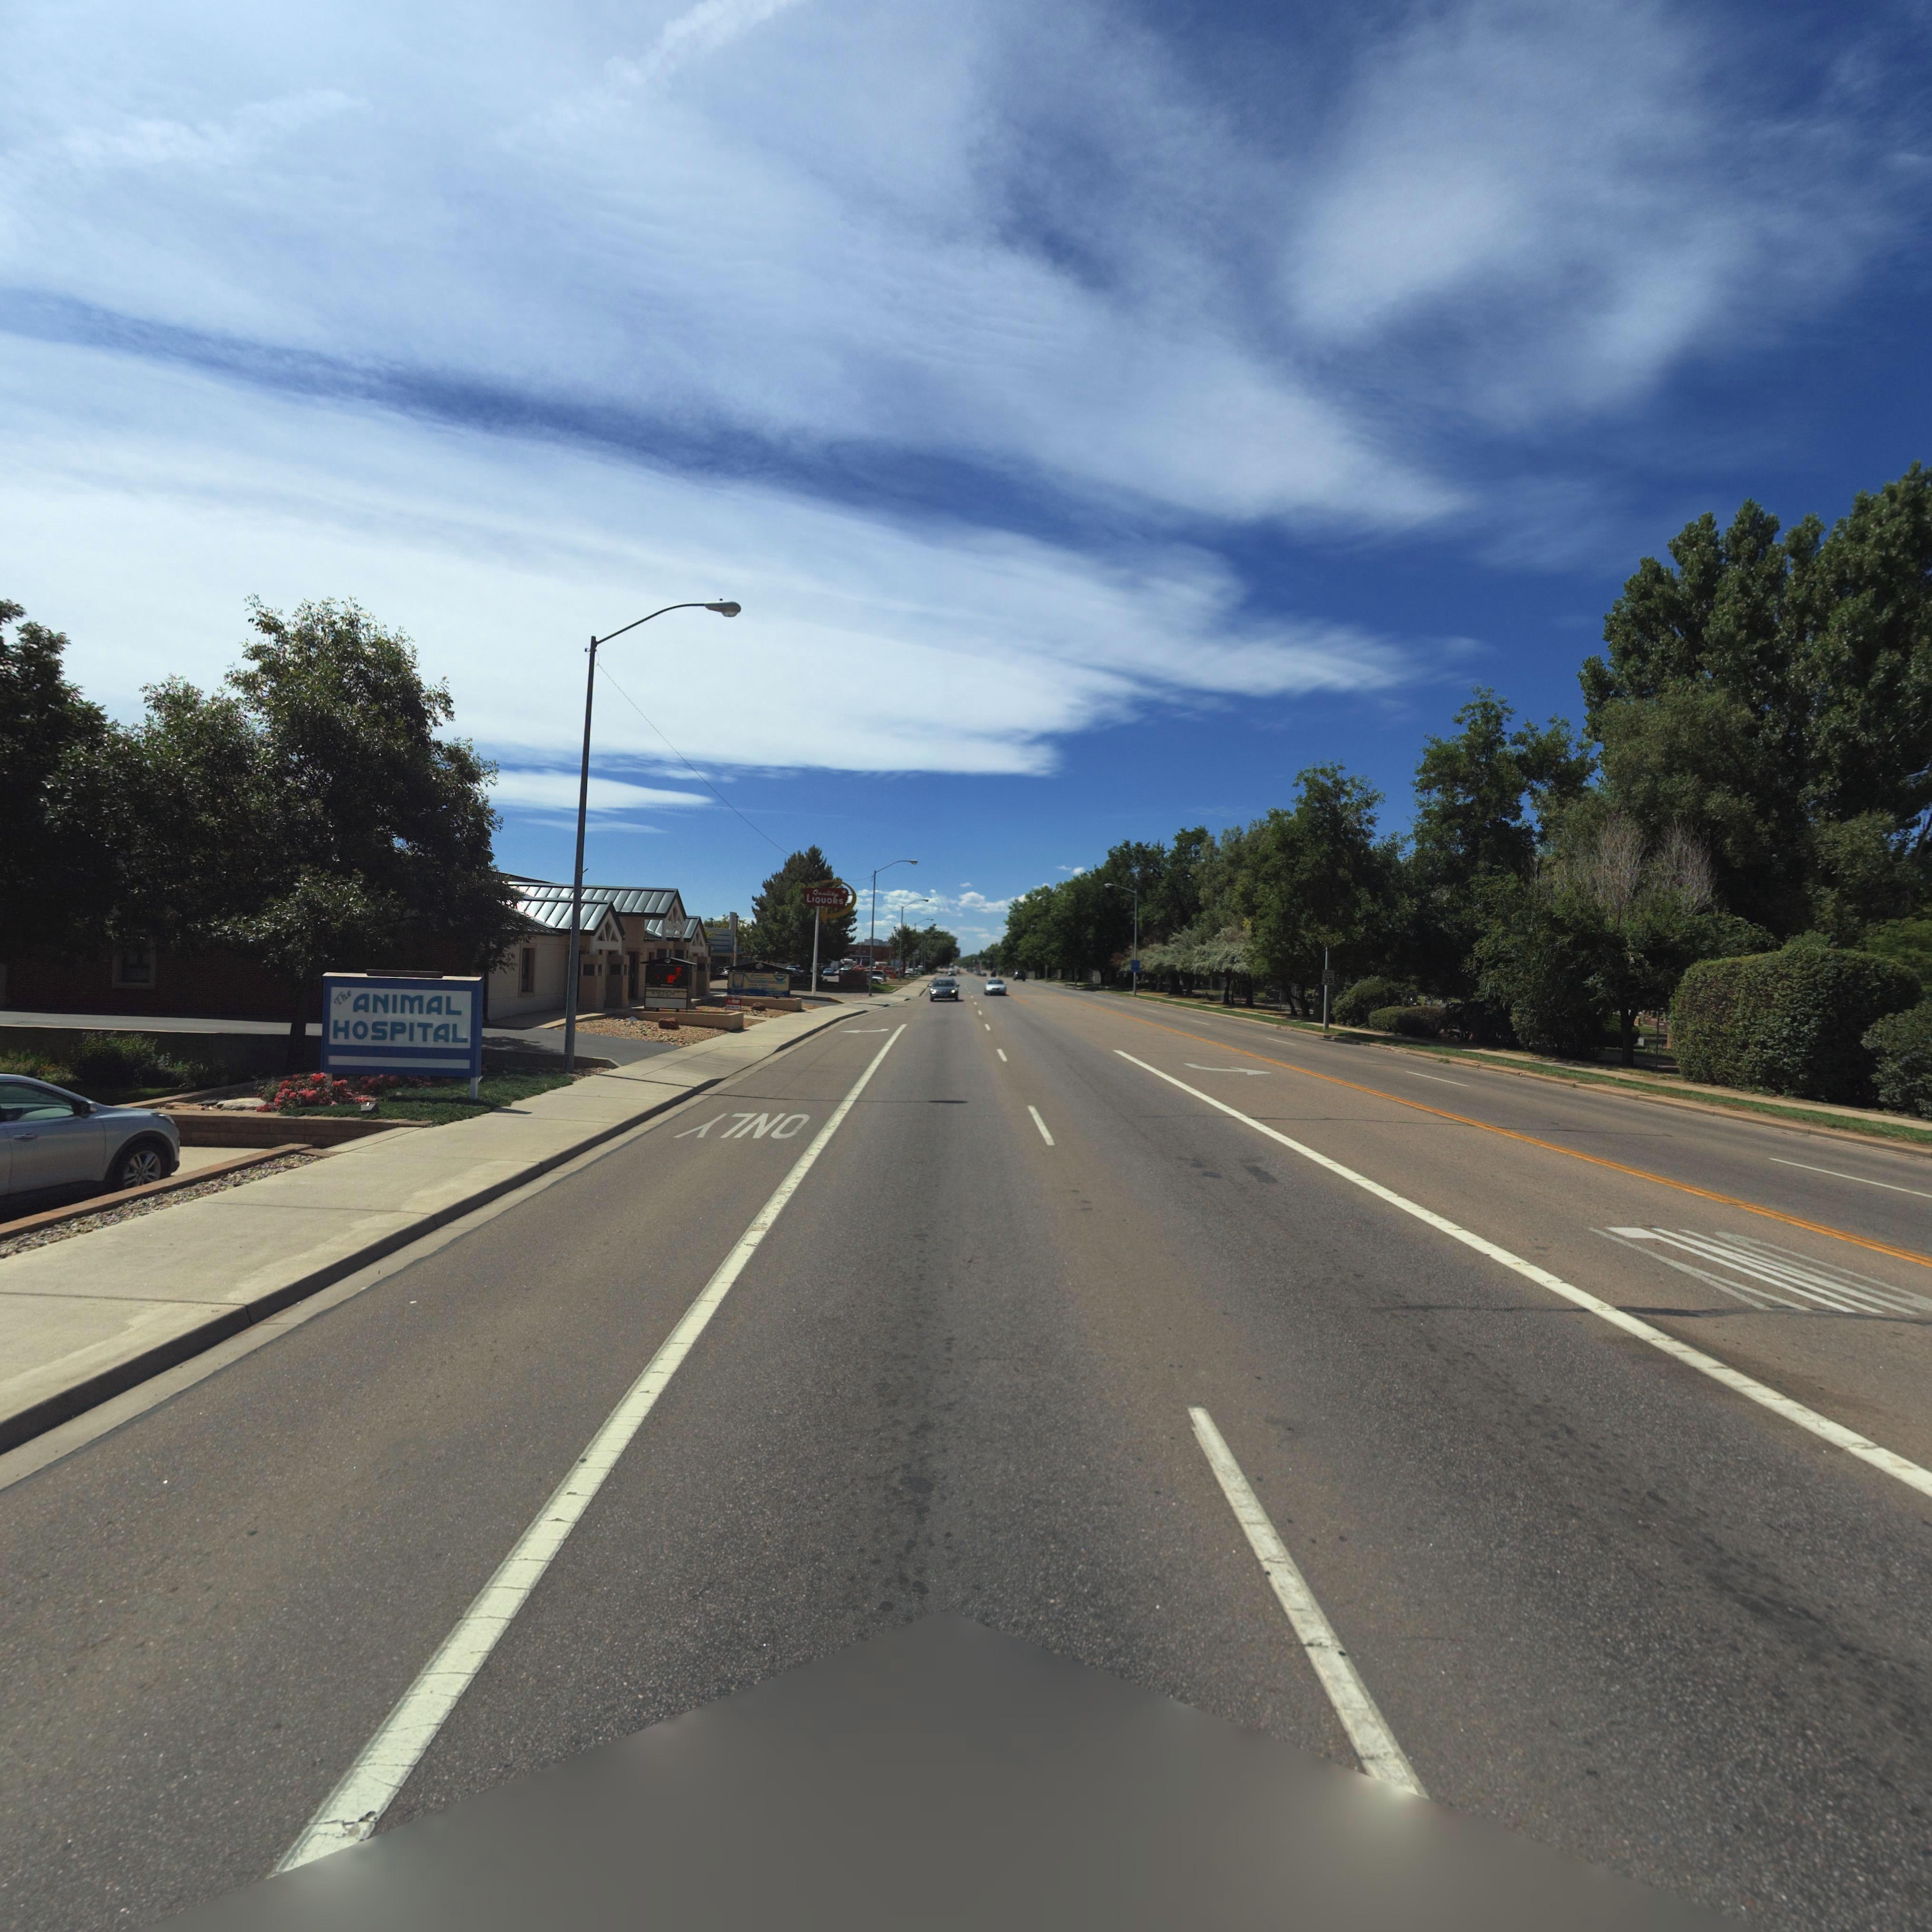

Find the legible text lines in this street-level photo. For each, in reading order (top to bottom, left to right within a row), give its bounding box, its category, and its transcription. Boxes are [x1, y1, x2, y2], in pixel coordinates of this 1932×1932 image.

[807, 893, 843, 905] BusinessName: LIQUORS
[812, 889, 838, 898] BusinessName: Q*ality
[750, 973, 765, 976] BusinessName: S****
[749, 976, 773, 980] BusinessName: D********
[334, 990, 351, 1006] BusinessName: The
[352, 993, 462, 1015] BusinessName: ANIMAL
[332, 1019, 468, 1043] BusinessName: HOSPITAL